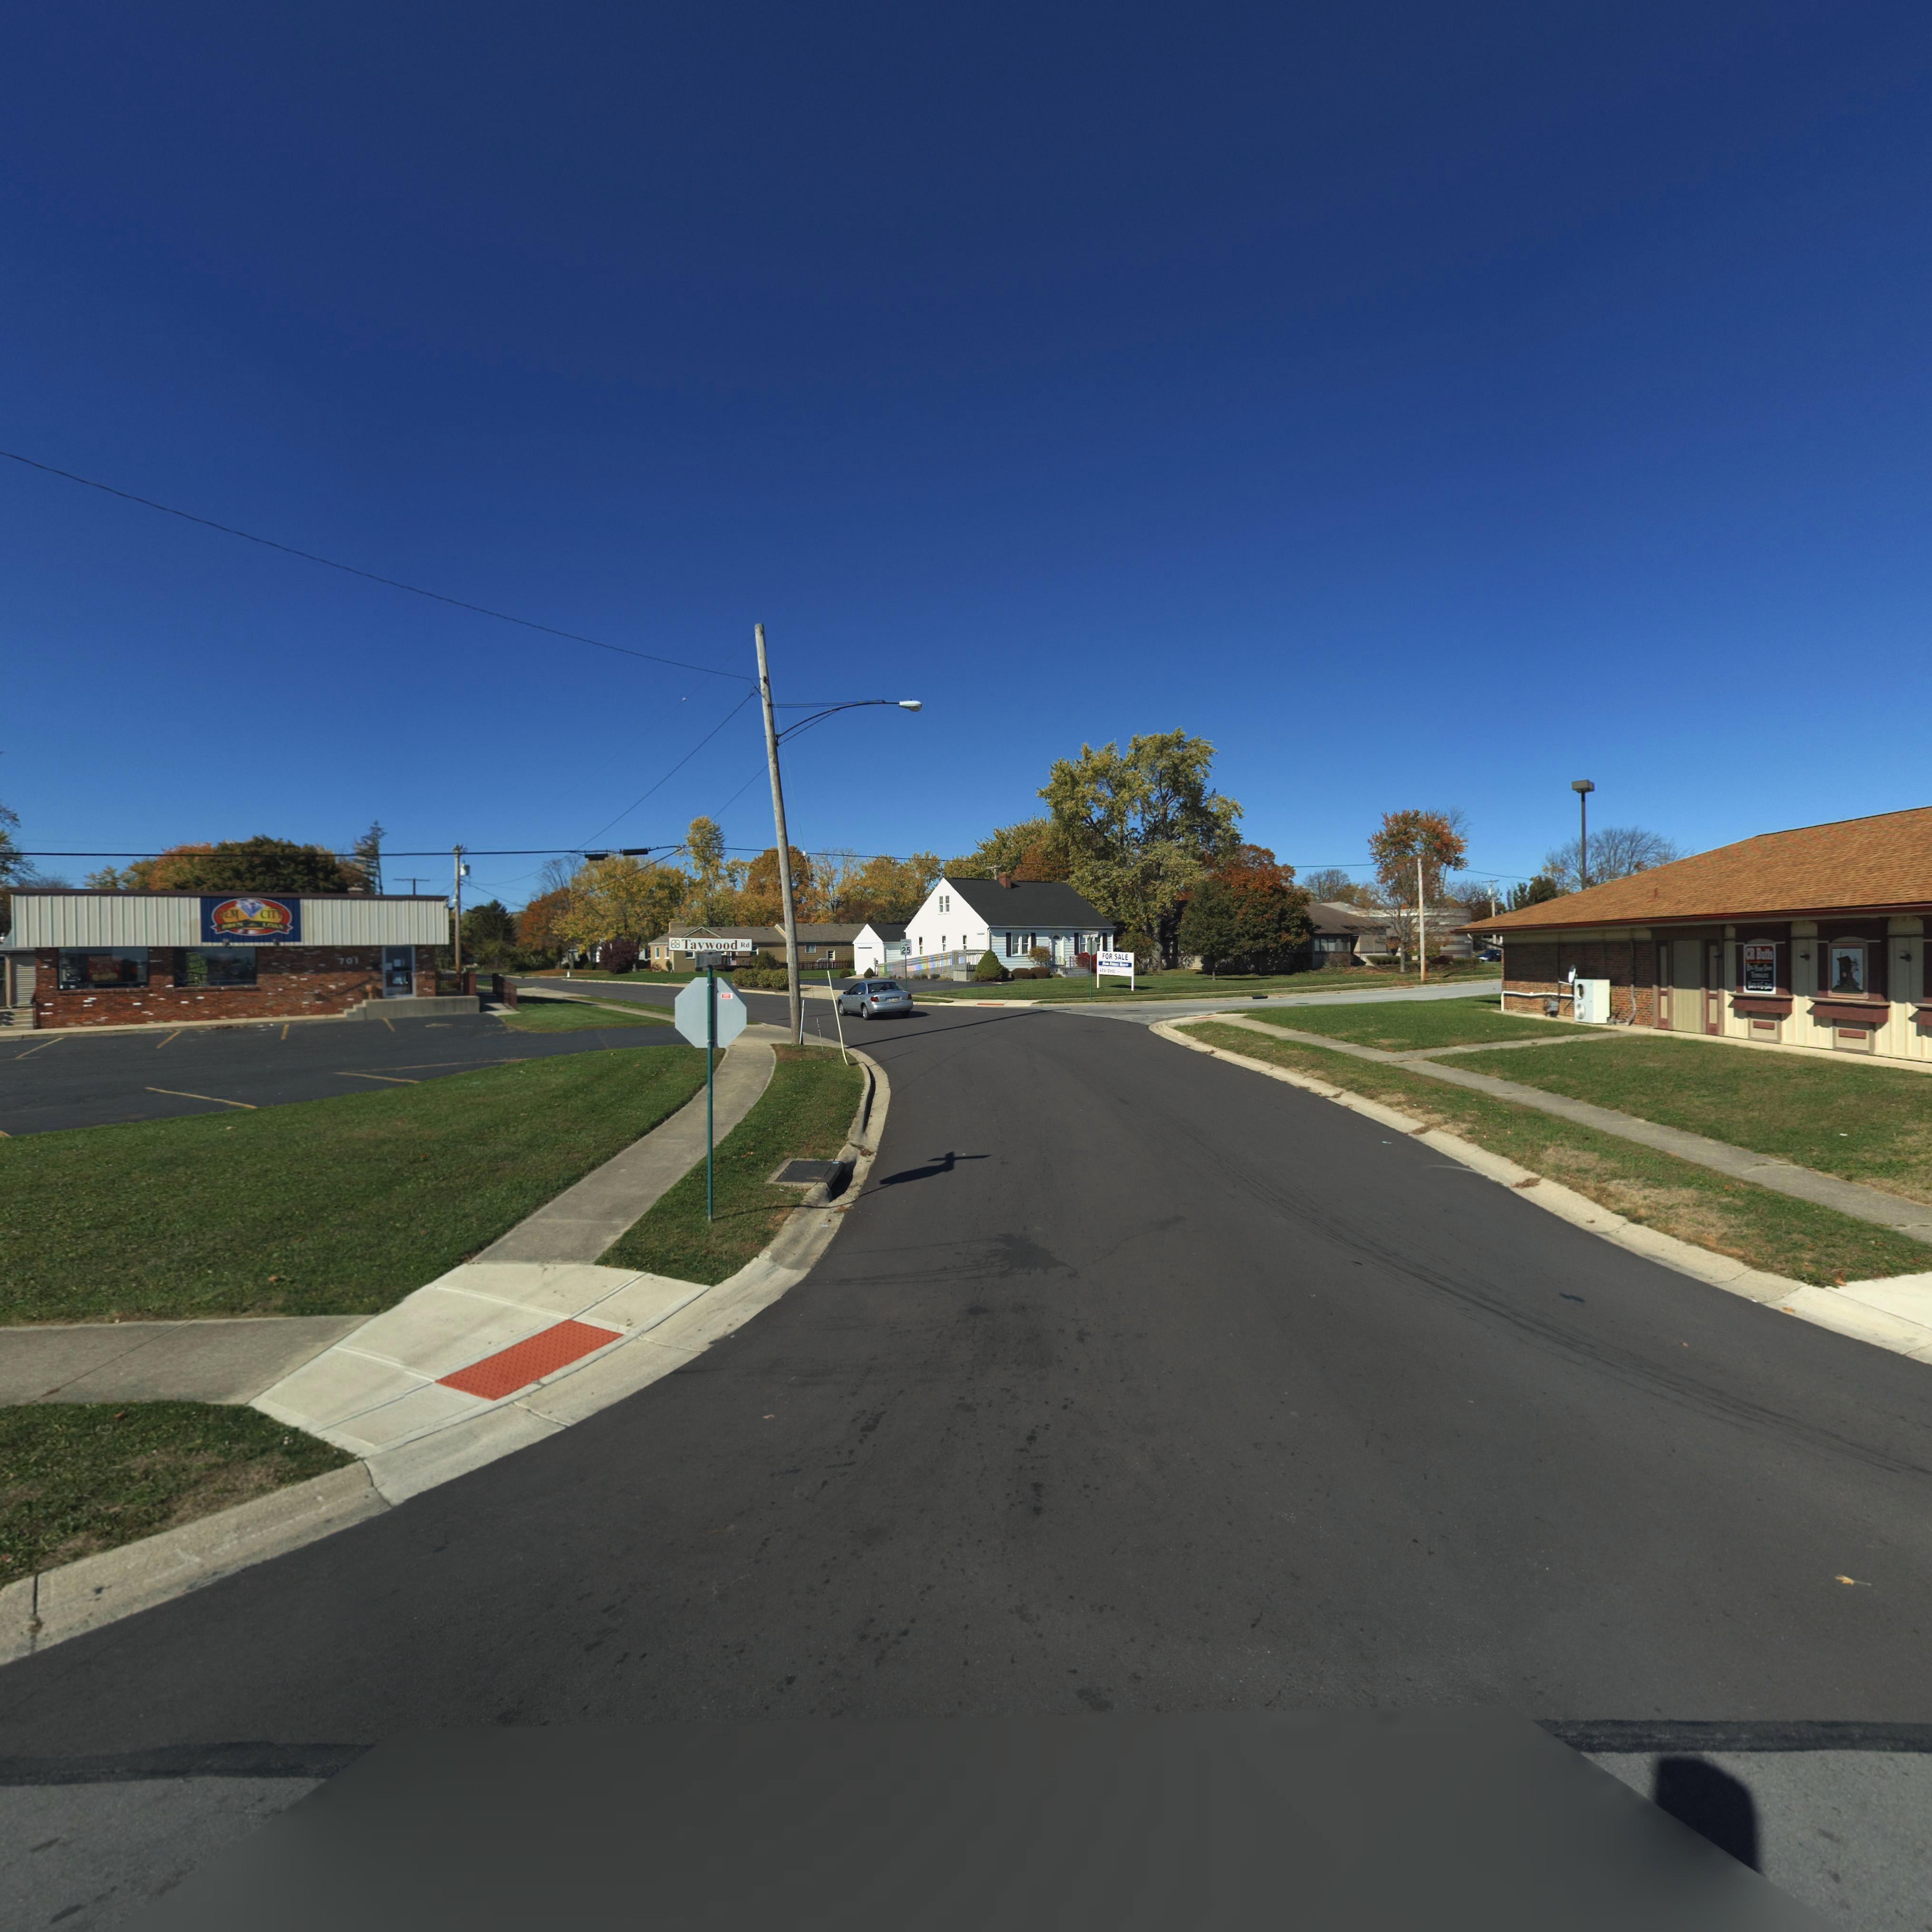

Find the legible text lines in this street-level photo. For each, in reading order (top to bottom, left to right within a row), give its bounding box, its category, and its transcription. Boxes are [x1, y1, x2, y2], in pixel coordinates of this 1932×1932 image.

[223, 908, 285, 919] BusinessName: EM CITY
[681, 938, 750, 952] StreetName: Taywood Rd
[337, 956, 360, 965] StreetNumber: 701
[1745, 947, 1774, 961] BusinessName: CR Butts